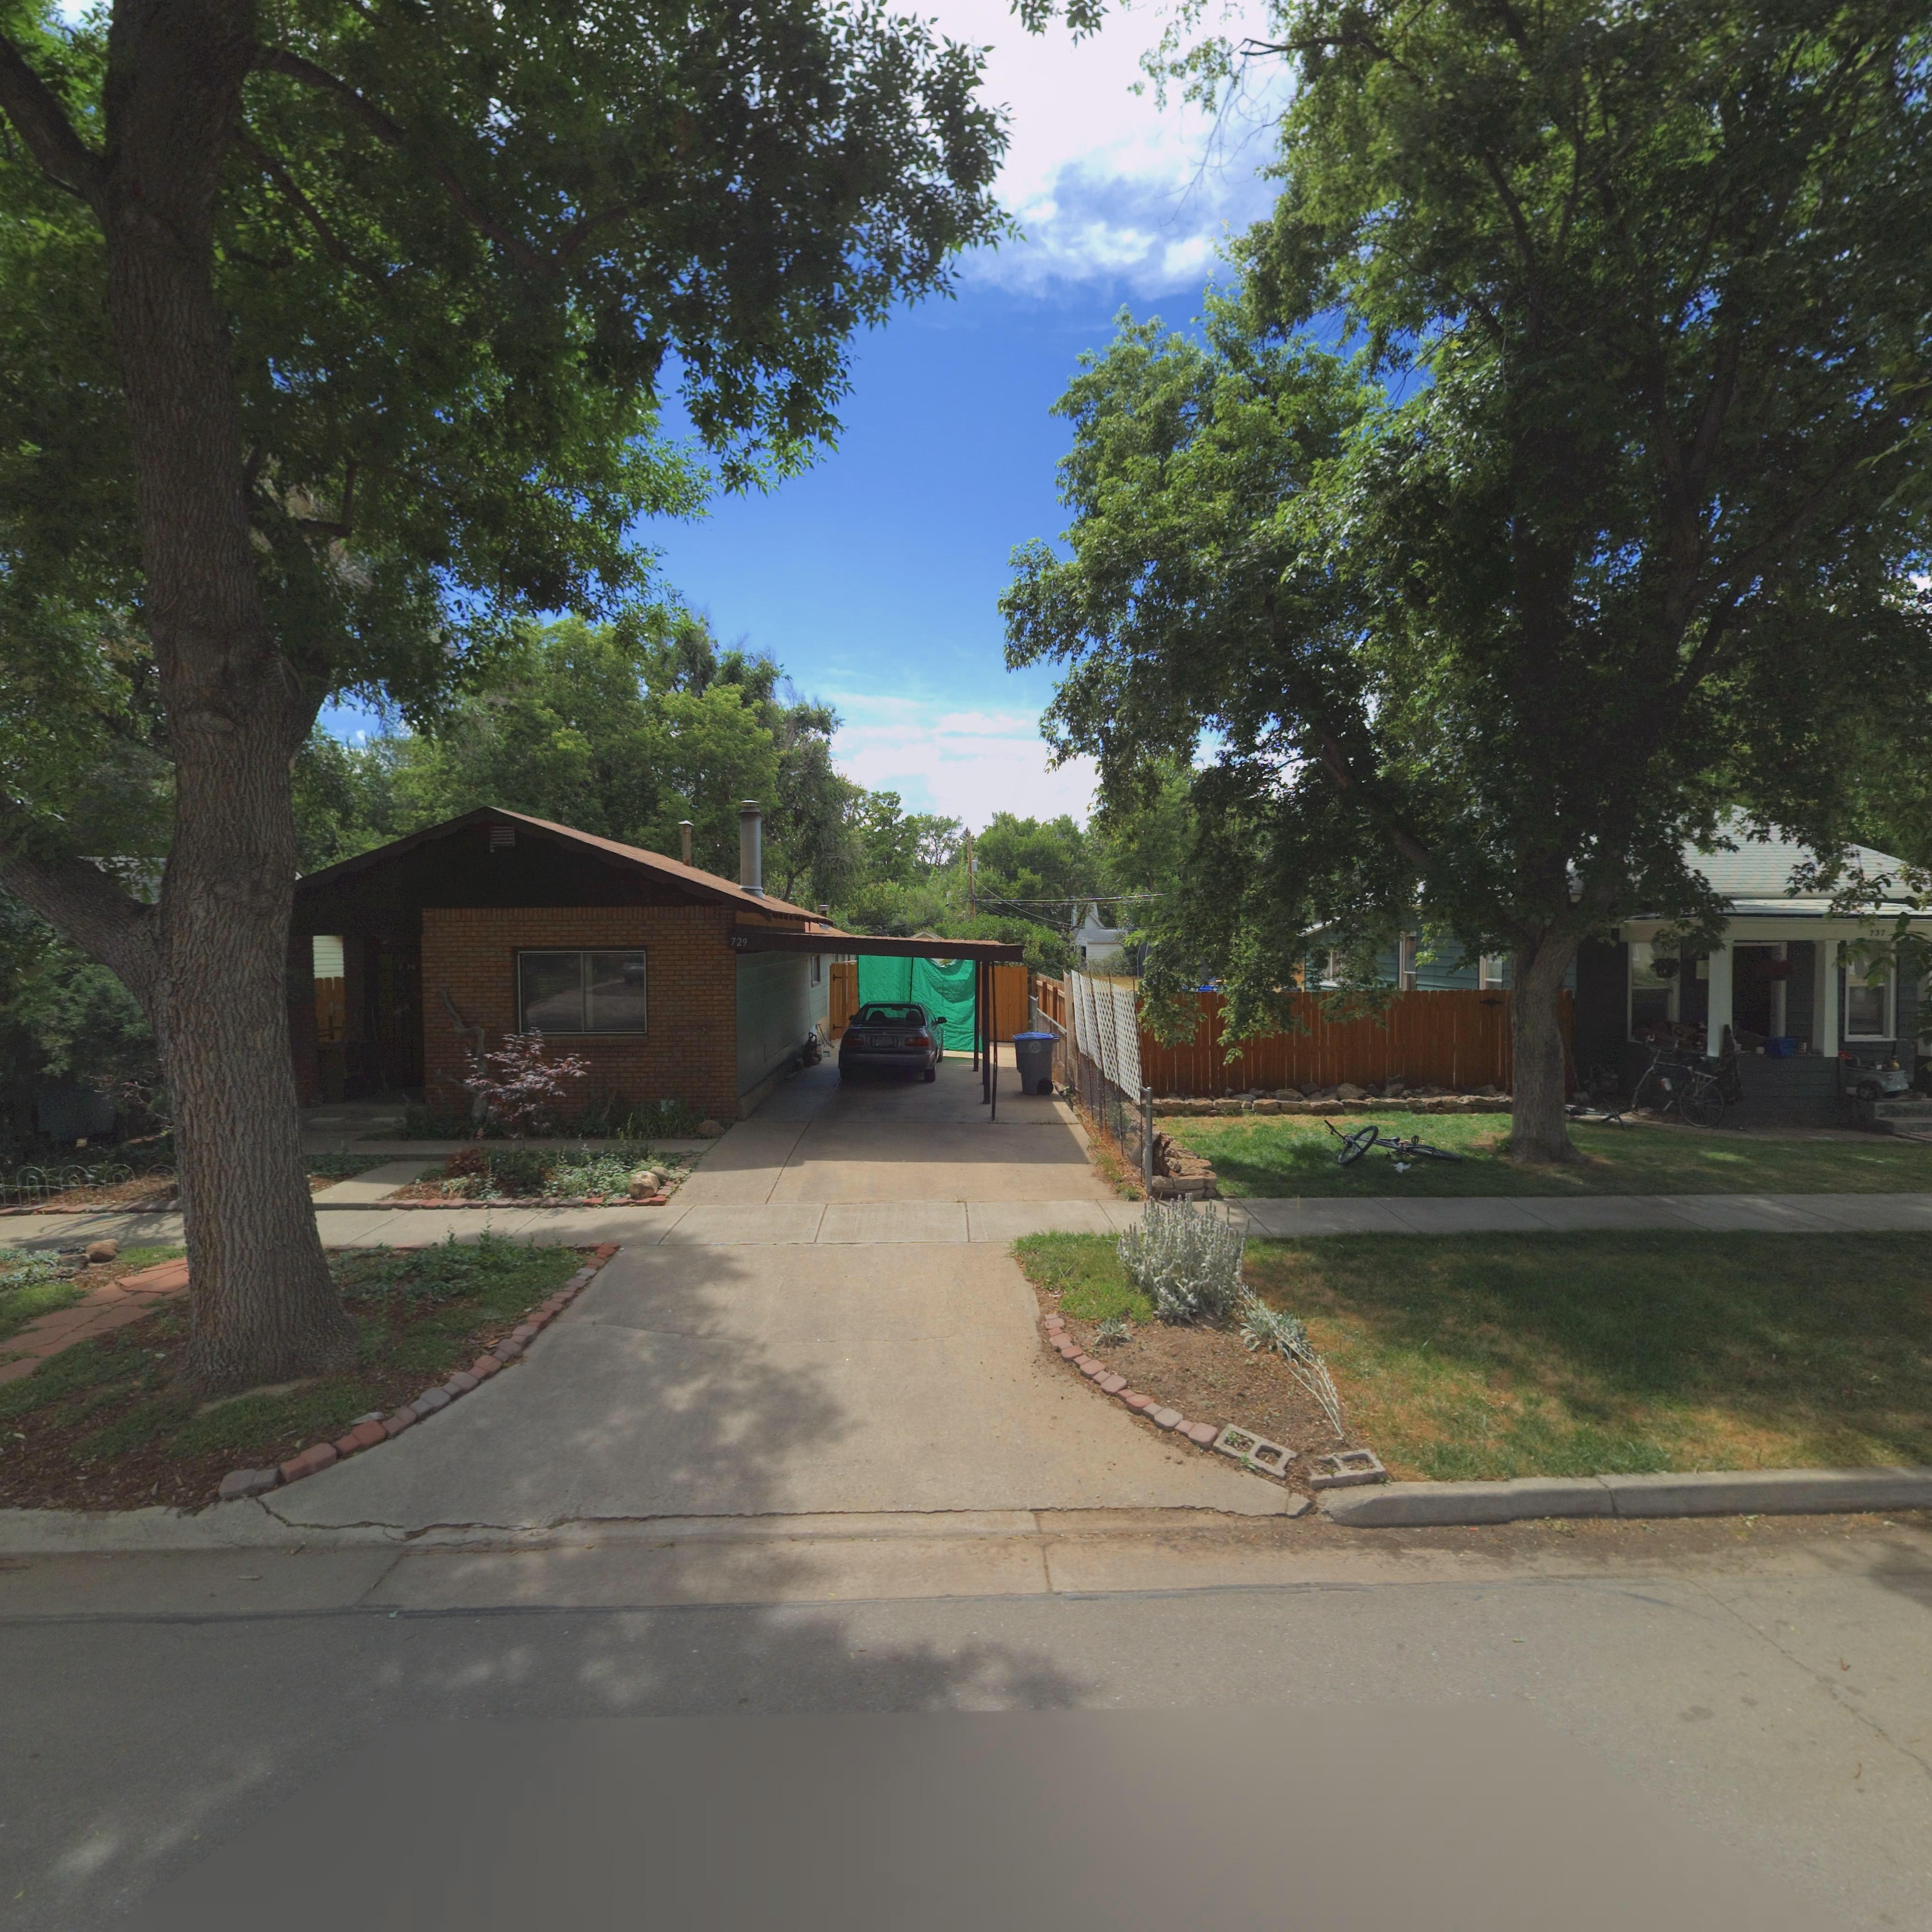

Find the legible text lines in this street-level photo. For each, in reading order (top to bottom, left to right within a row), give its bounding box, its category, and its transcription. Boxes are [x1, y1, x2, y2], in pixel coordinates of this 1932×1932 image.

[1869, 929, 1886, 937] StreetNumber: 737
[730, 937, 747, 947] StreetNumber: 729